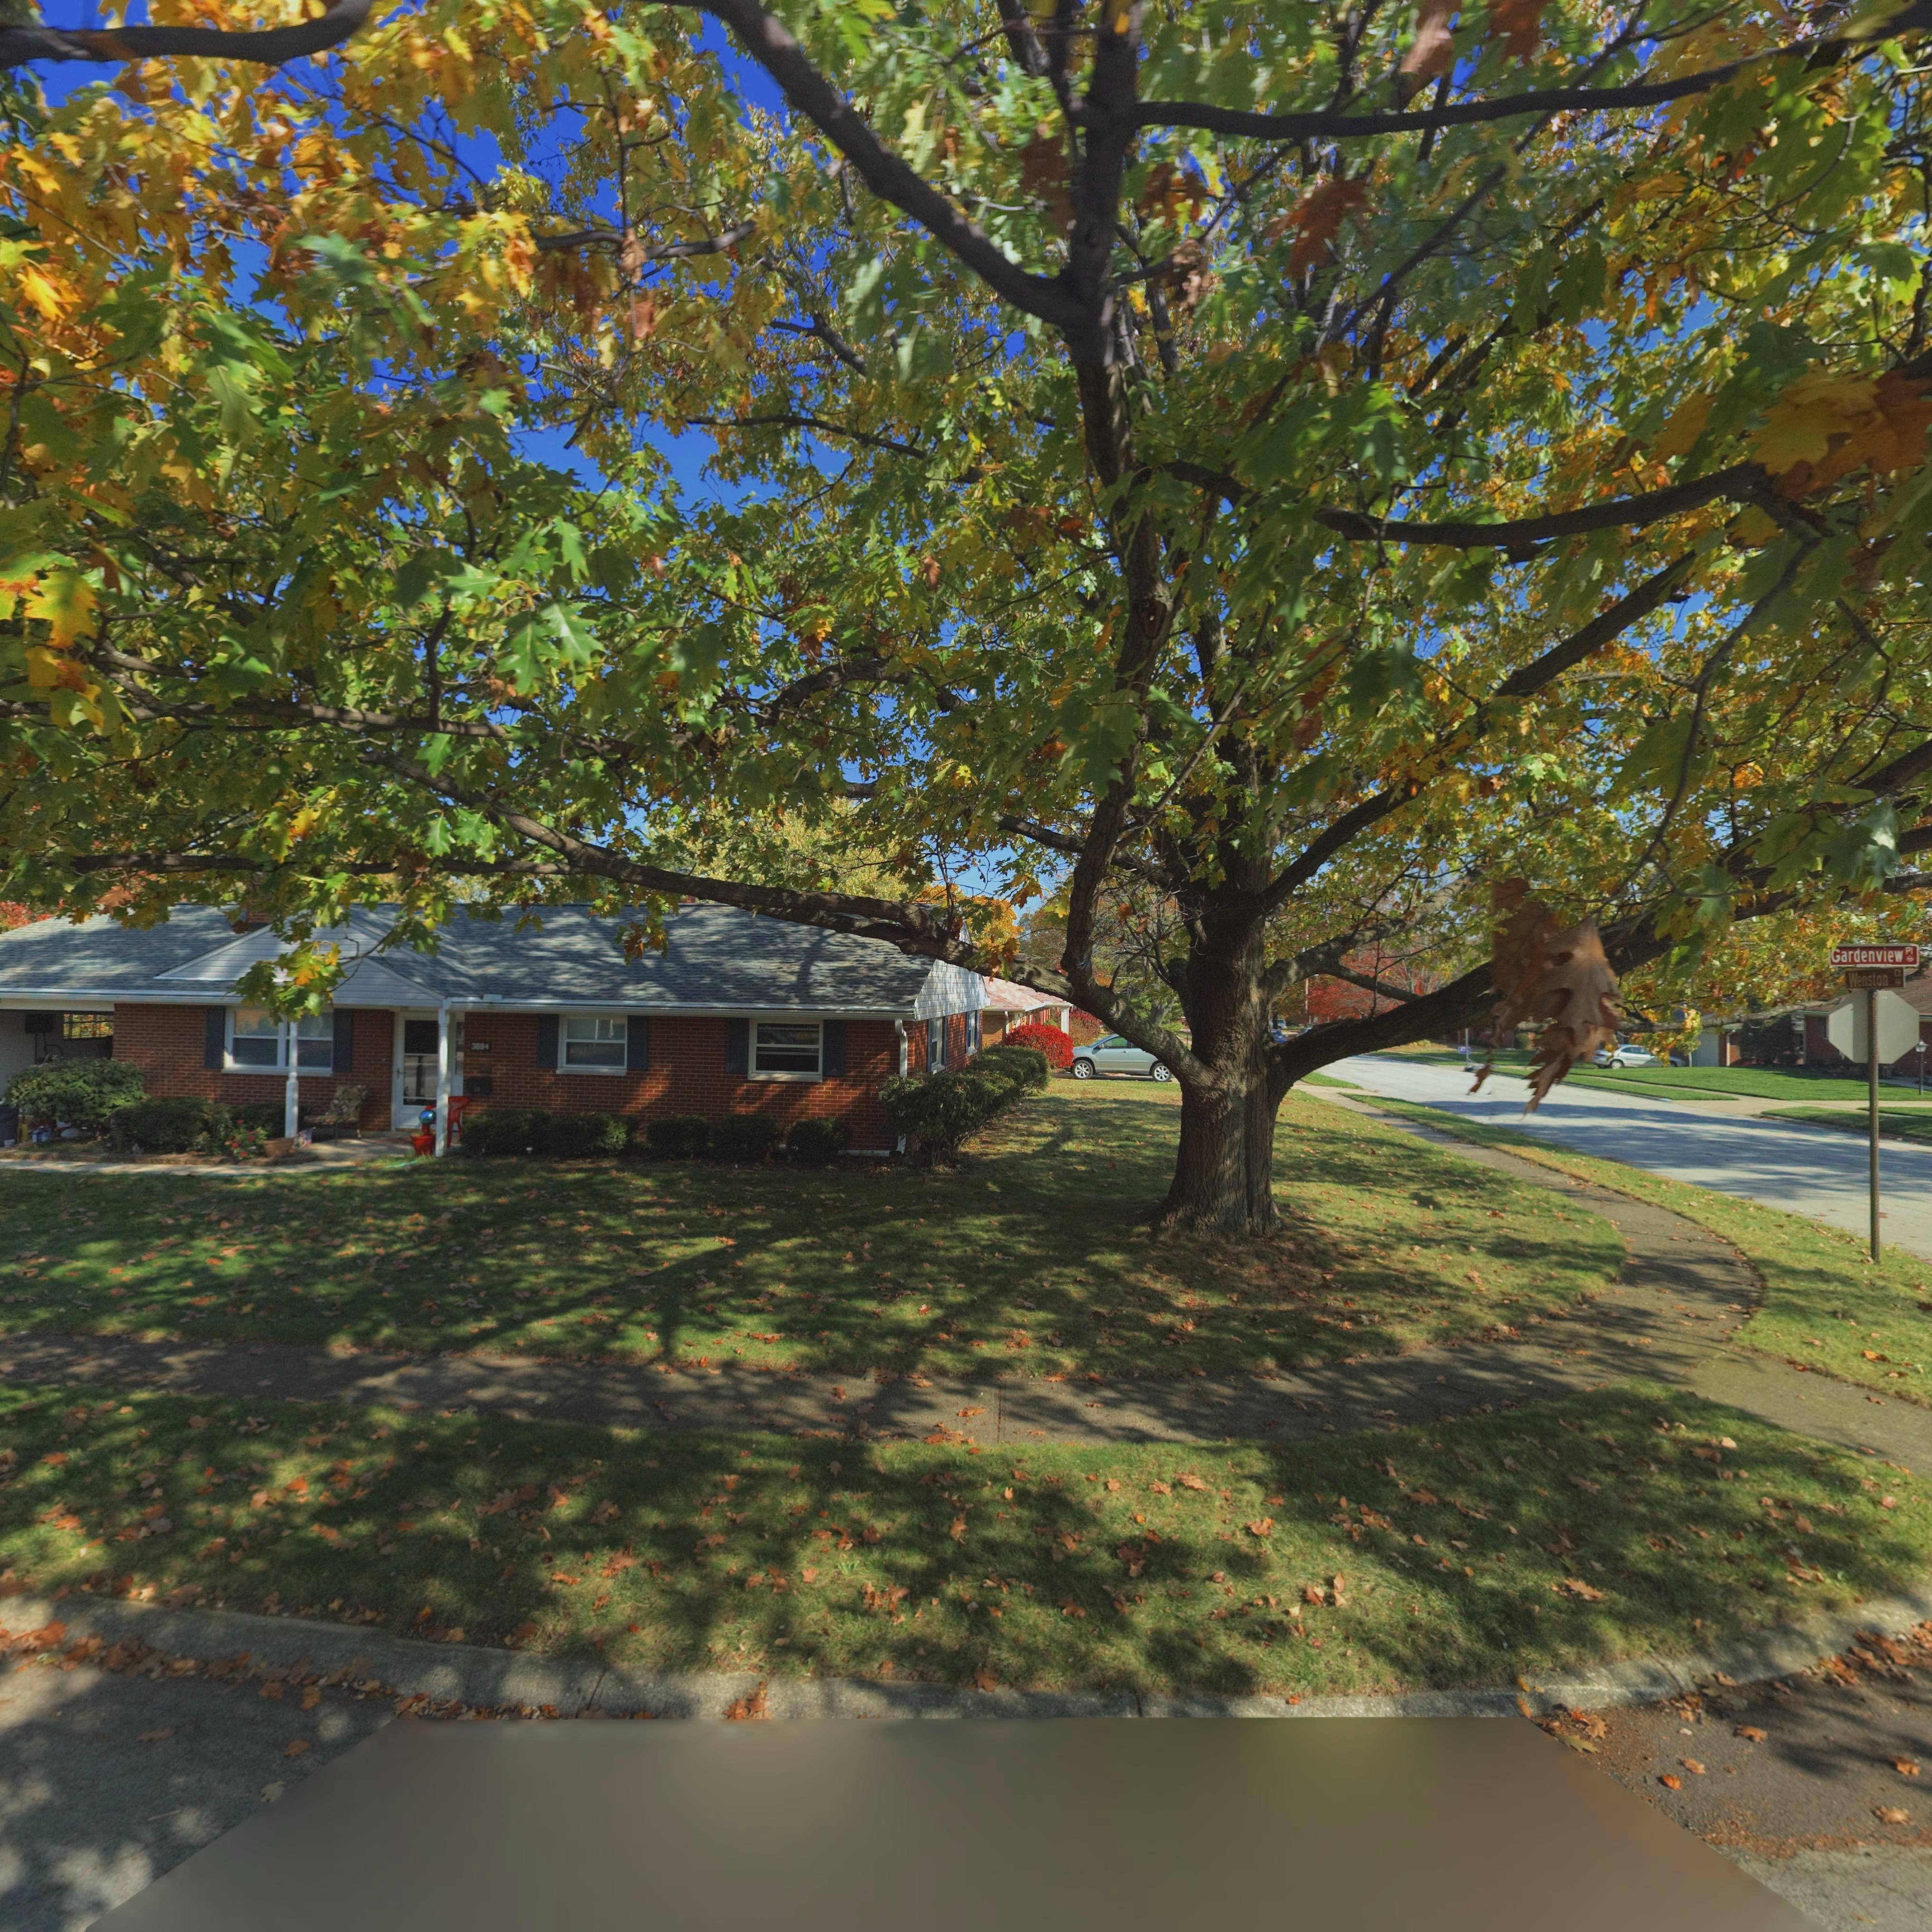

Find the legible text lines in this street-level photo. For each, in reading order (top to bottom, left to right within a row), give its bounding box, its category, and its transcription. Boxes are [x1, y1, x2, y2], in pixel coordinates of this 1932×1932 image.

[1830, 946, 1915, 964] StreetName: Gardenview Pl
[1846, 968, 1902, 988] StreetName: Wenston C*
[470, 1041, 490, 1052] StreetNumber: 3884